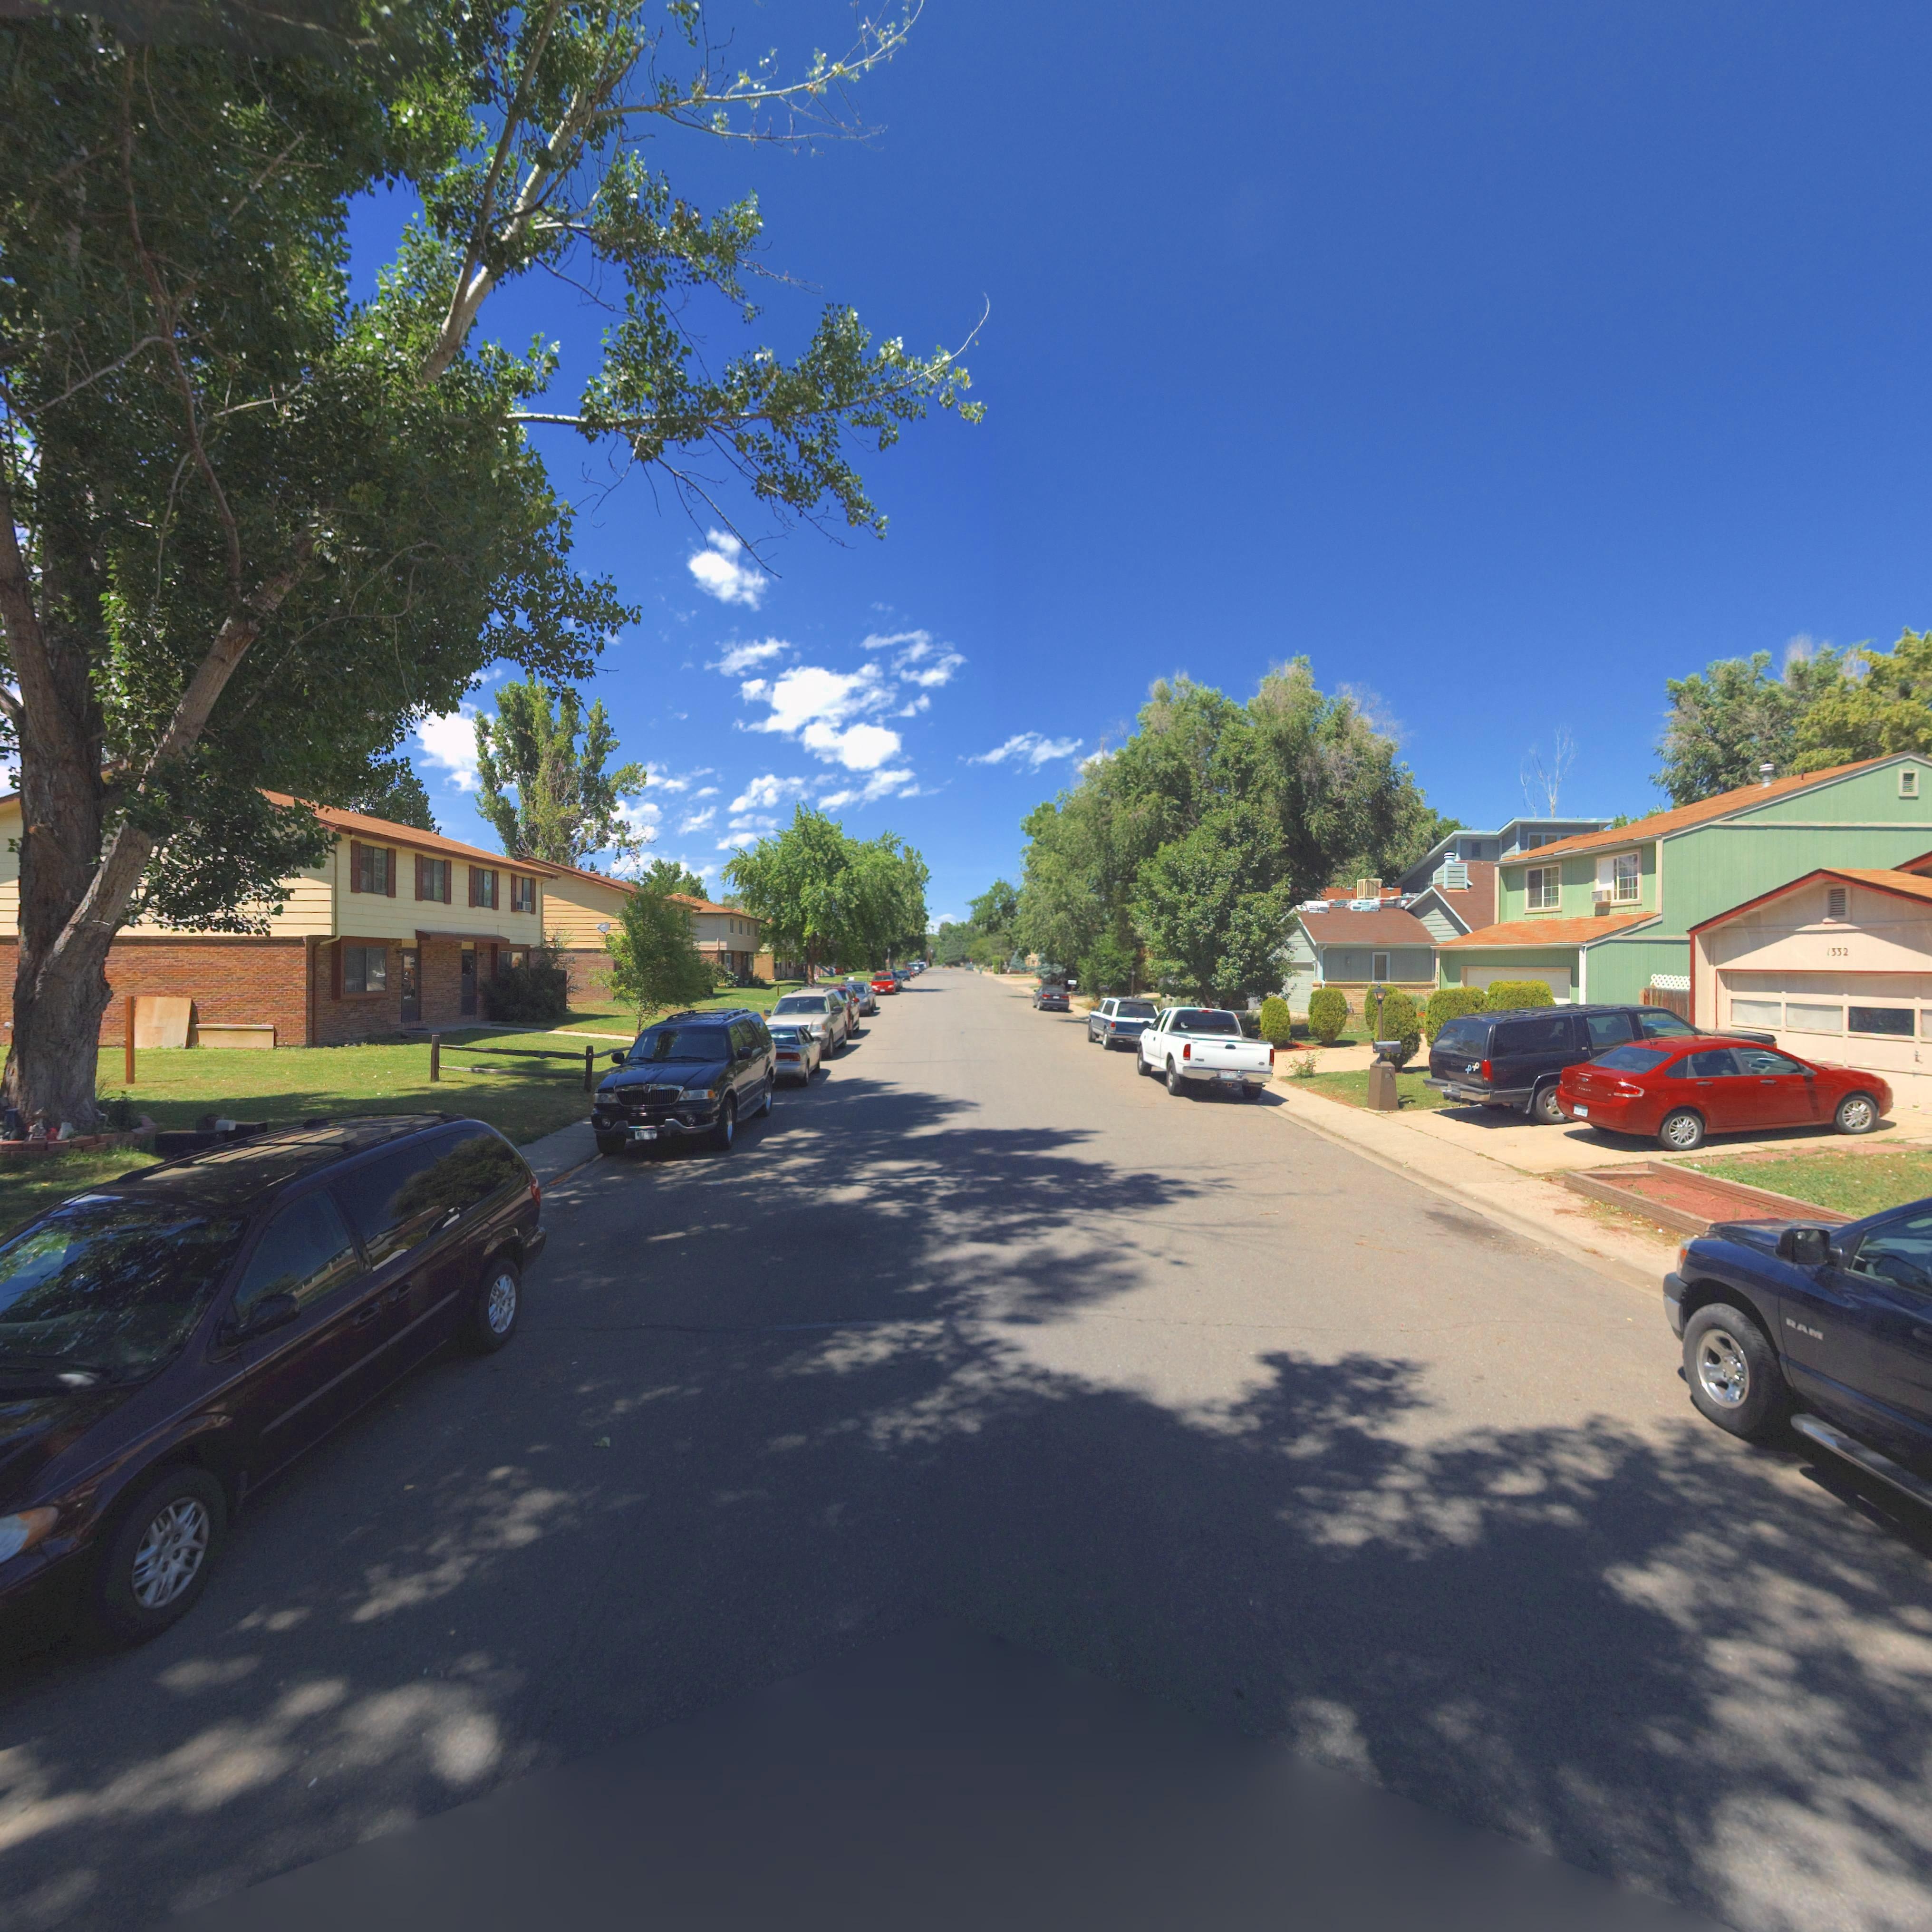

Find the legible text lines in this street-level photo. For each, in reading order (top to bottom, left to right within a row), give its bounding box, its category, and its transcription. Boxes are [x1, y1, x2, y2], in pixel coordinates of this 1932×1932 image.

[1826, 947, 1848, 956] StreetNumber: 1332
[1436, 966, 1439, 988] StreetNumber: 1336